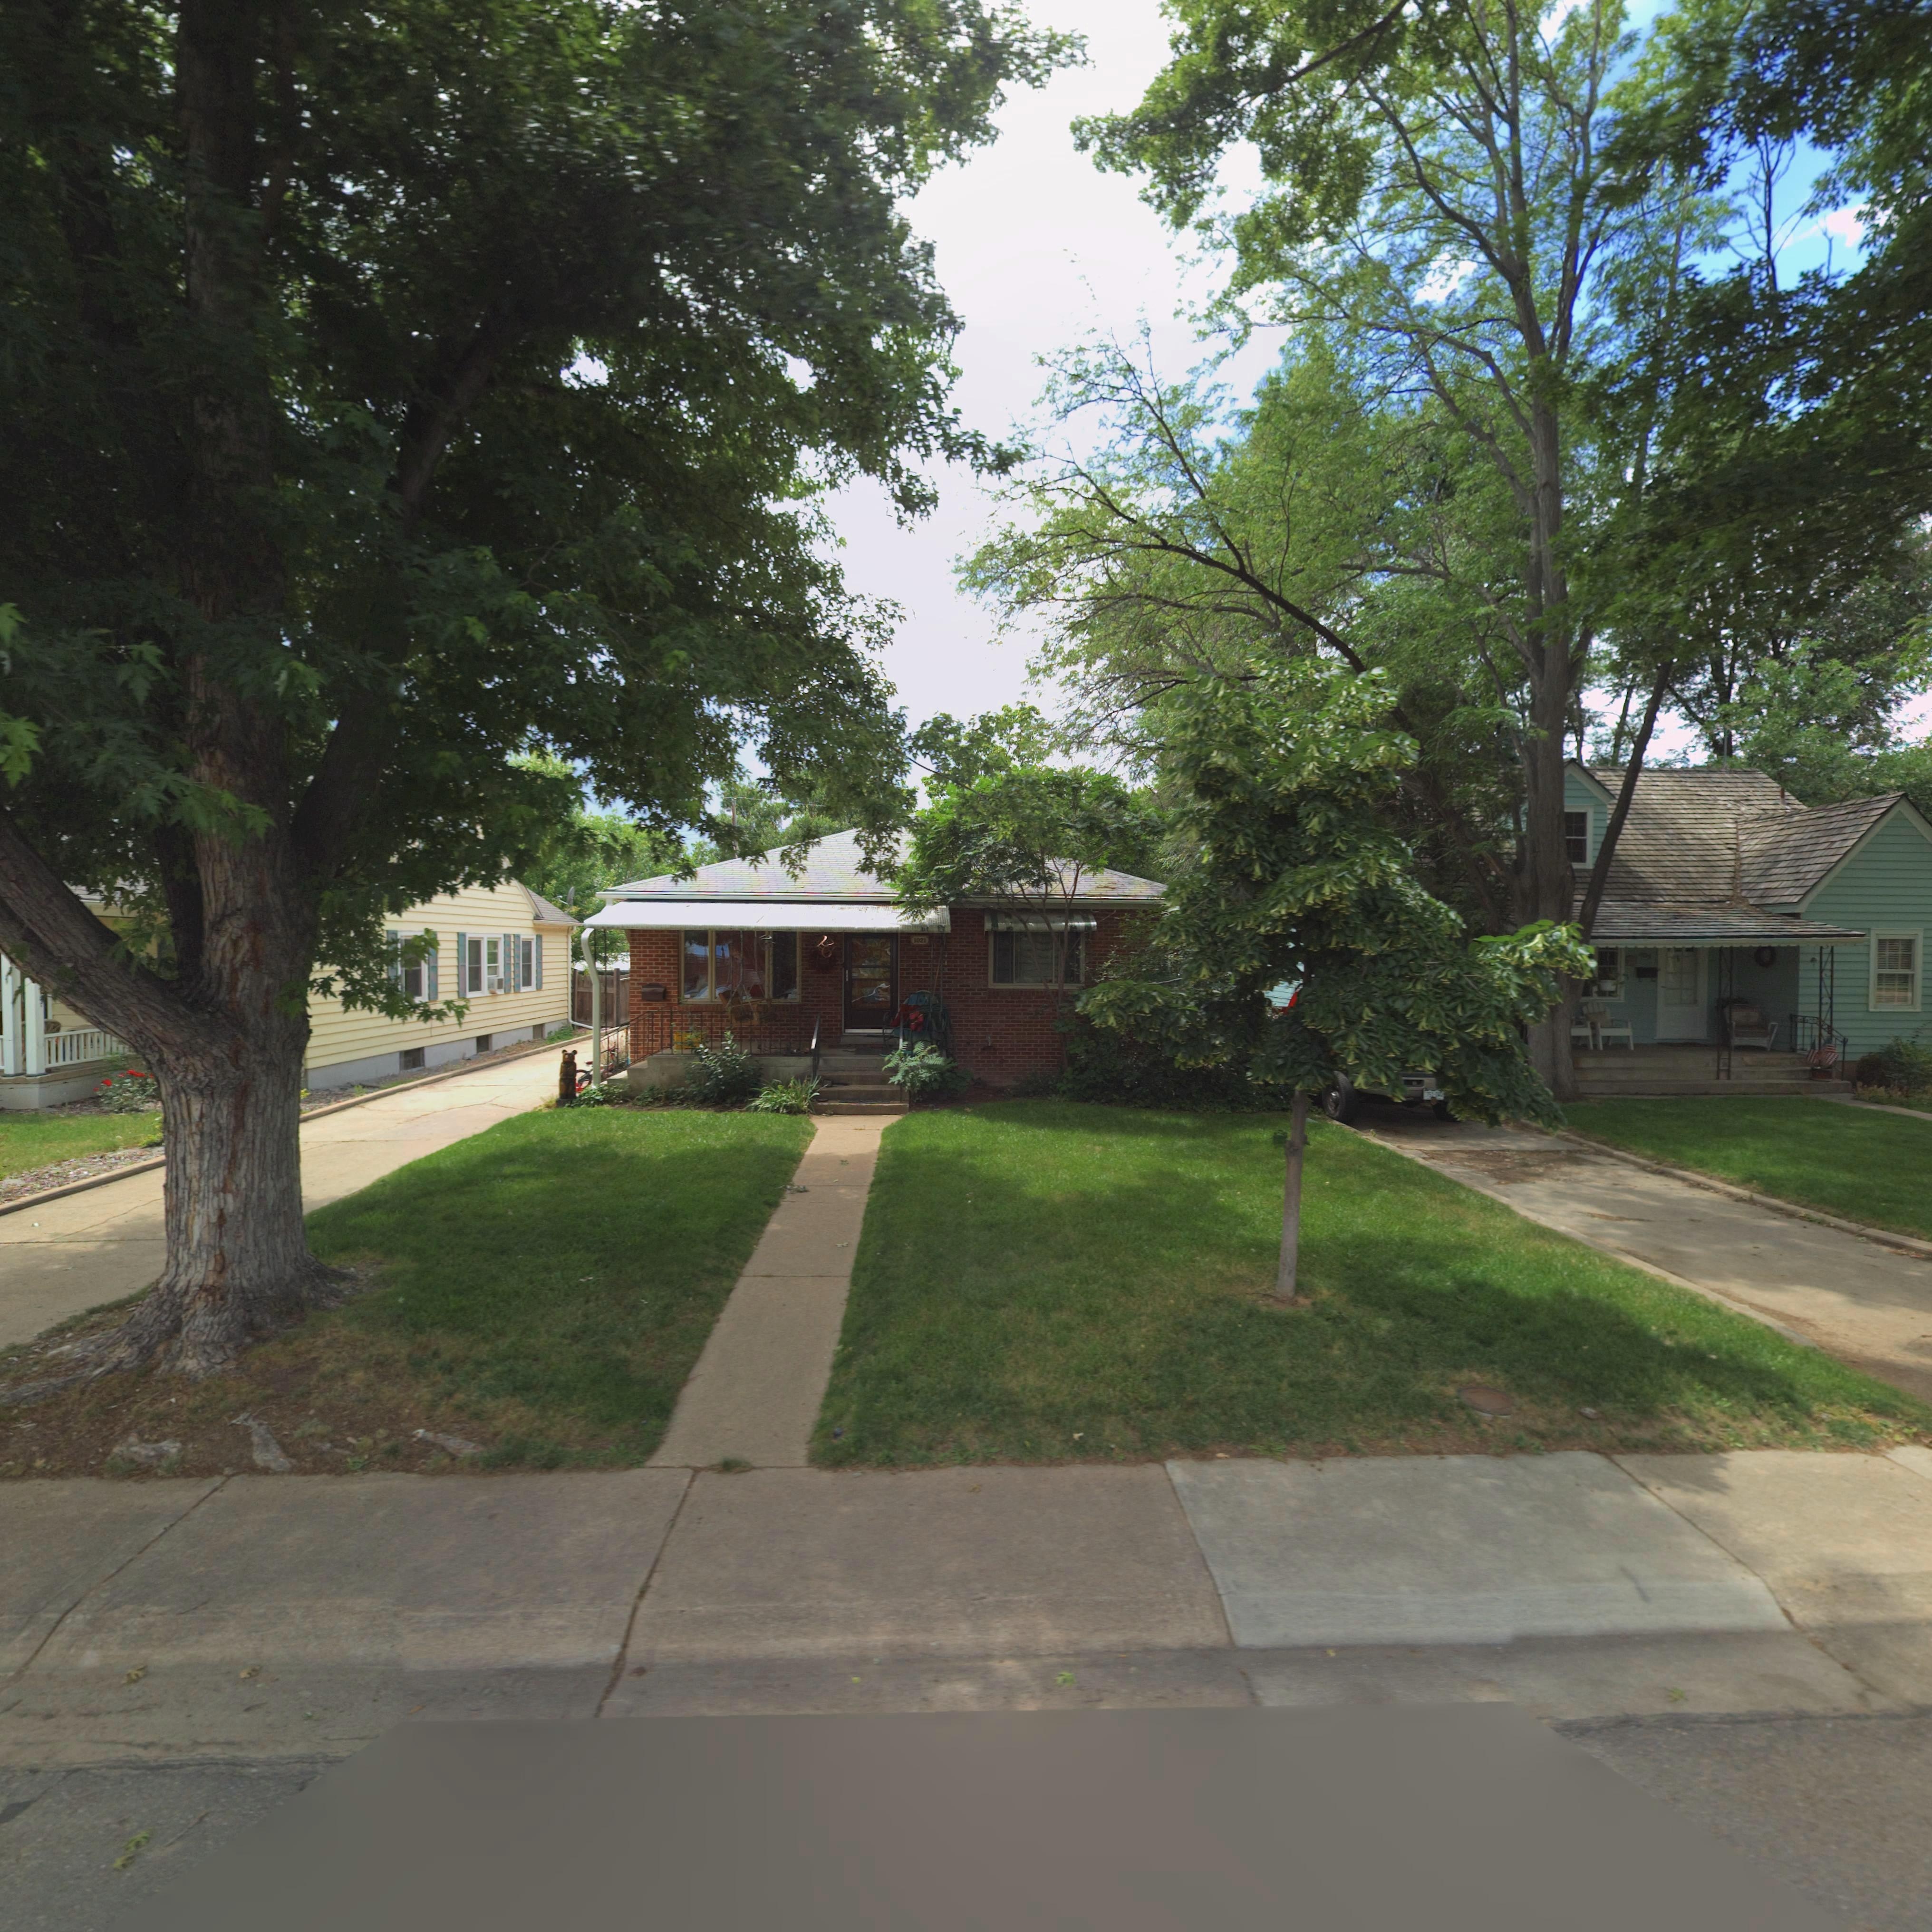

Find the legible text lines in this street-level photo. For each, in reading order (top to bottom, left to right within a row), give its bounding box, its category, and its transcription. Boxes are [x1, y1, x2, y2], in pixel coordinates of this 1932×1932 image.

[913, 937, 926, 943] StreetNumber: 1021
[1637, 951, 1652, 960] StreetNumber: *01